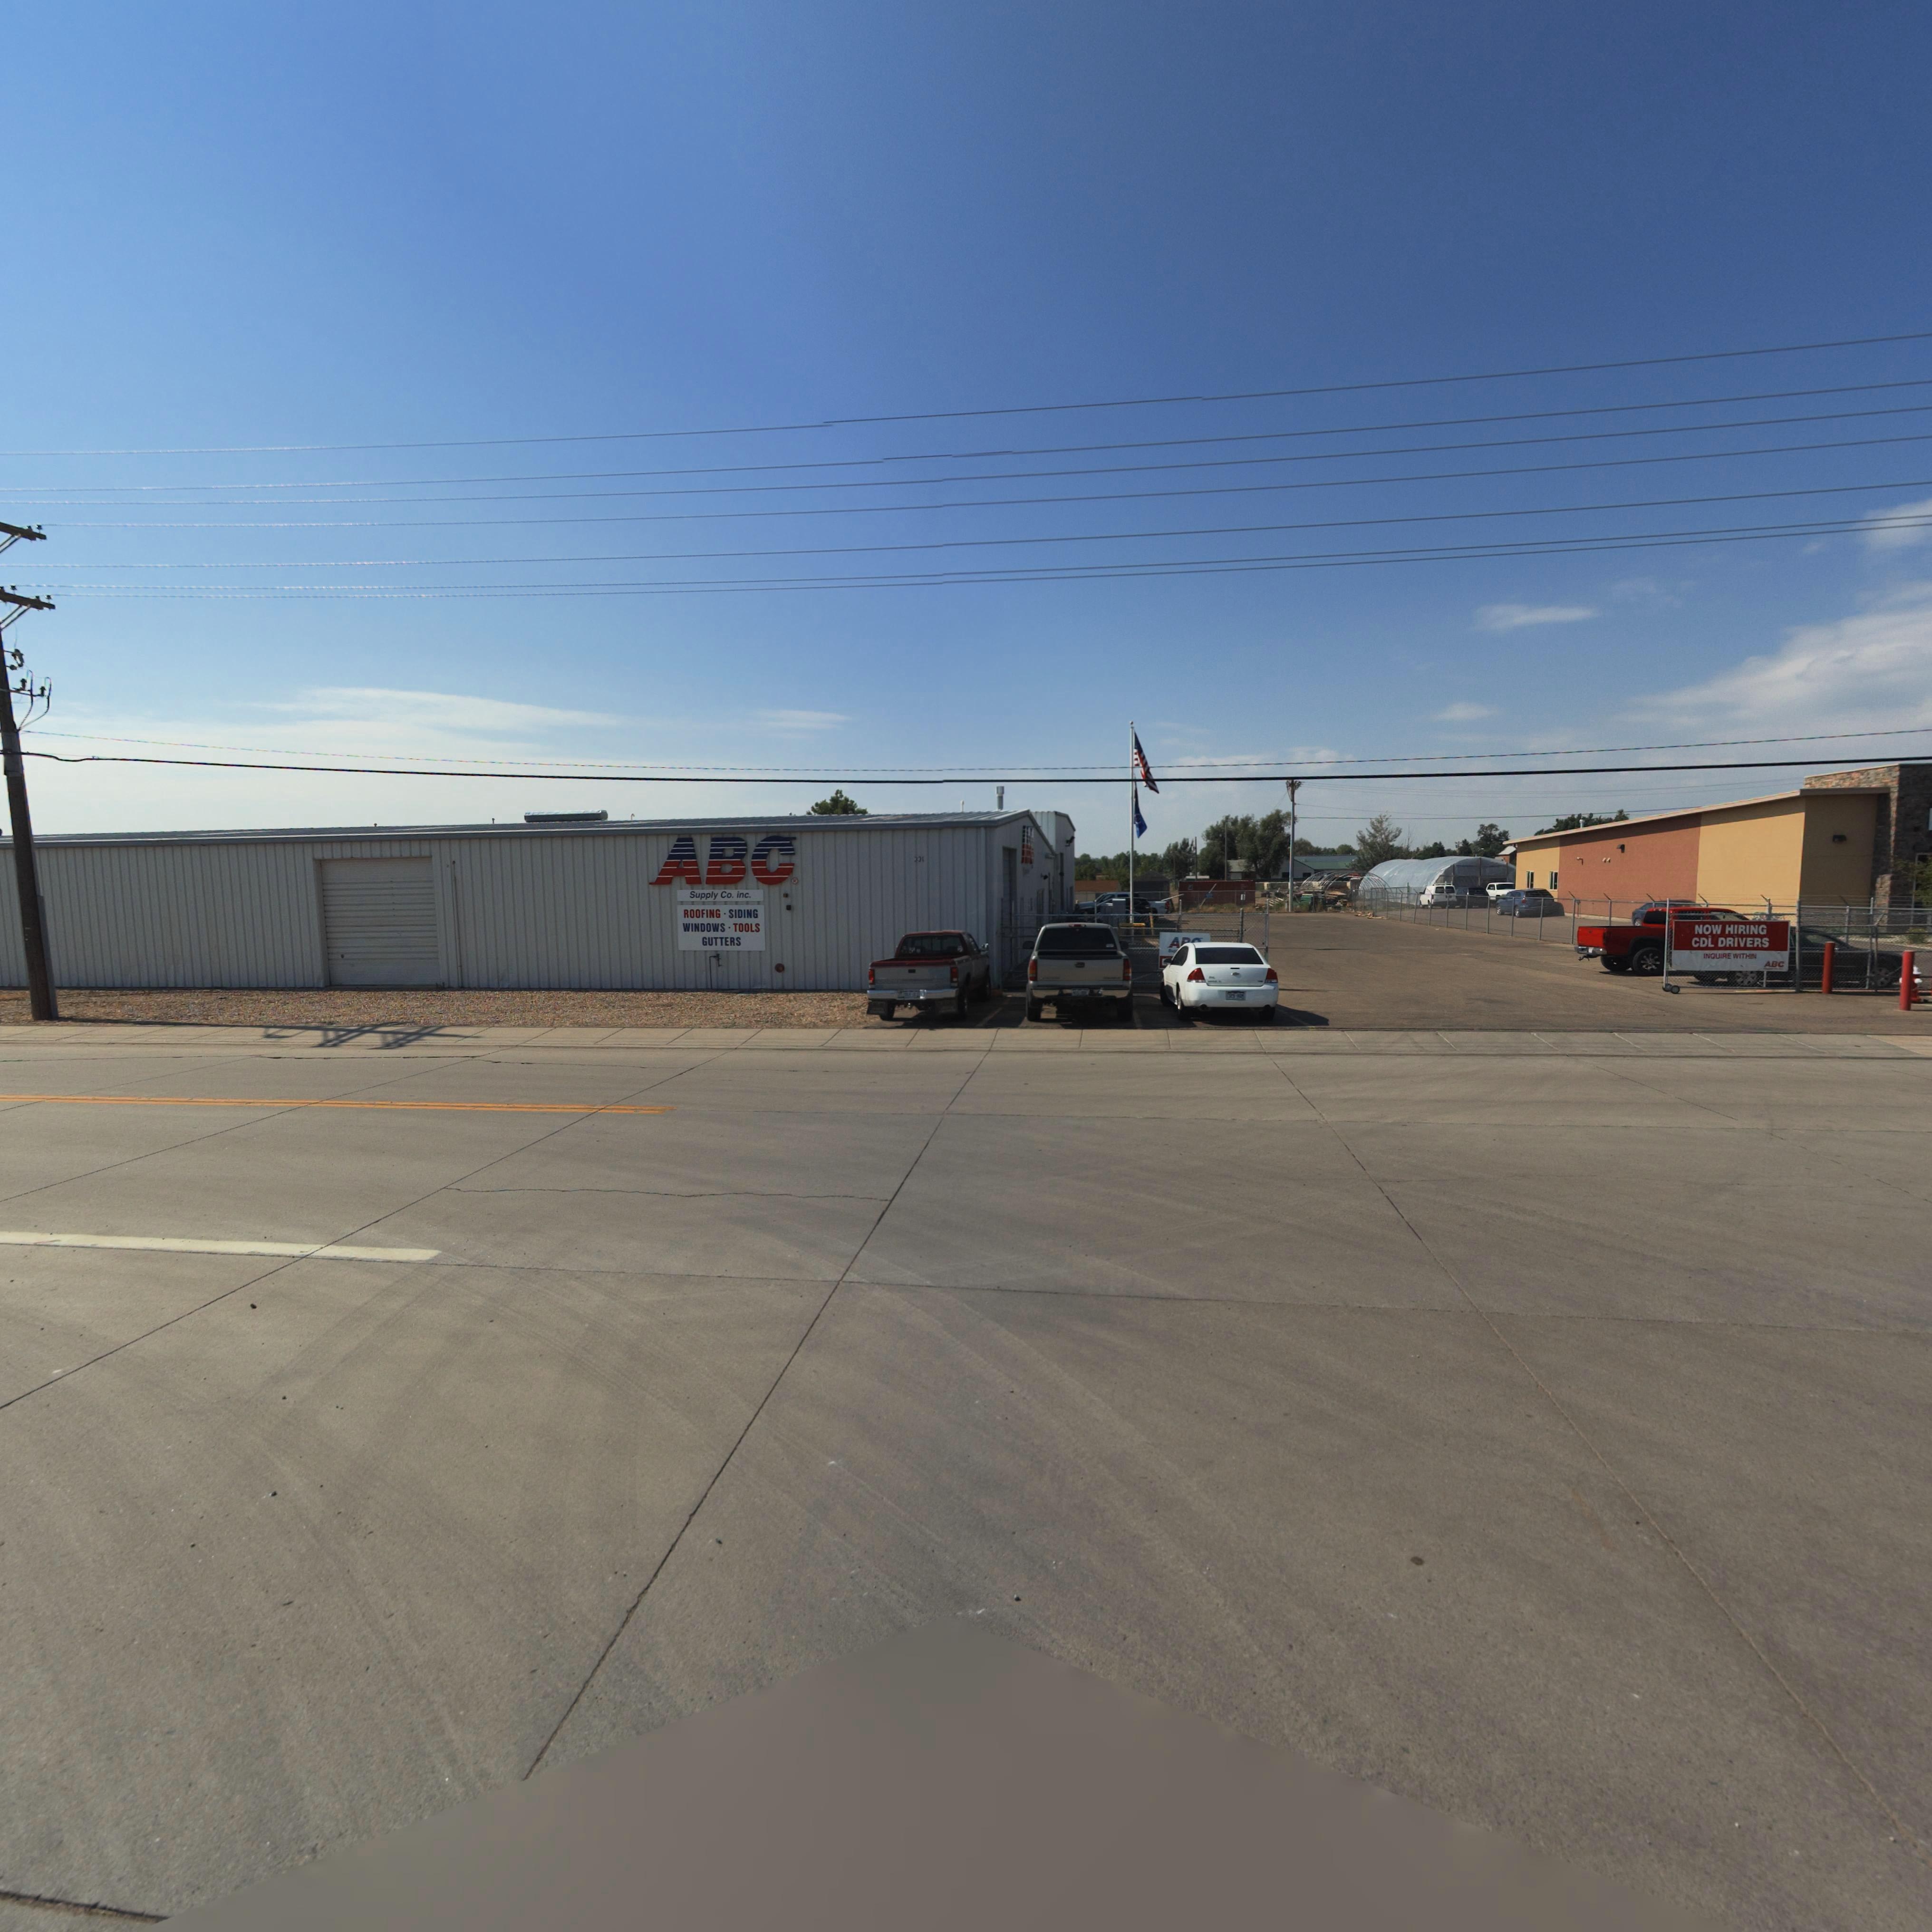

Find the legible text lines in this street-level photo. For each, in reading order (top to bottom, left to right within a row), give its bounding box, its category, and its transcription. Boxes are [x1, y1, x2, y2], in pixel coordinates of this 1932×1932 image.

[648, 835, 797, 885] BusinessName: ABC
[914, 856, 924, 862] StreetNumber: 331
[1020, 824, 1035, 864] BusinessName: ABC
[1168, 936, 1179, 948] BusinessName: A